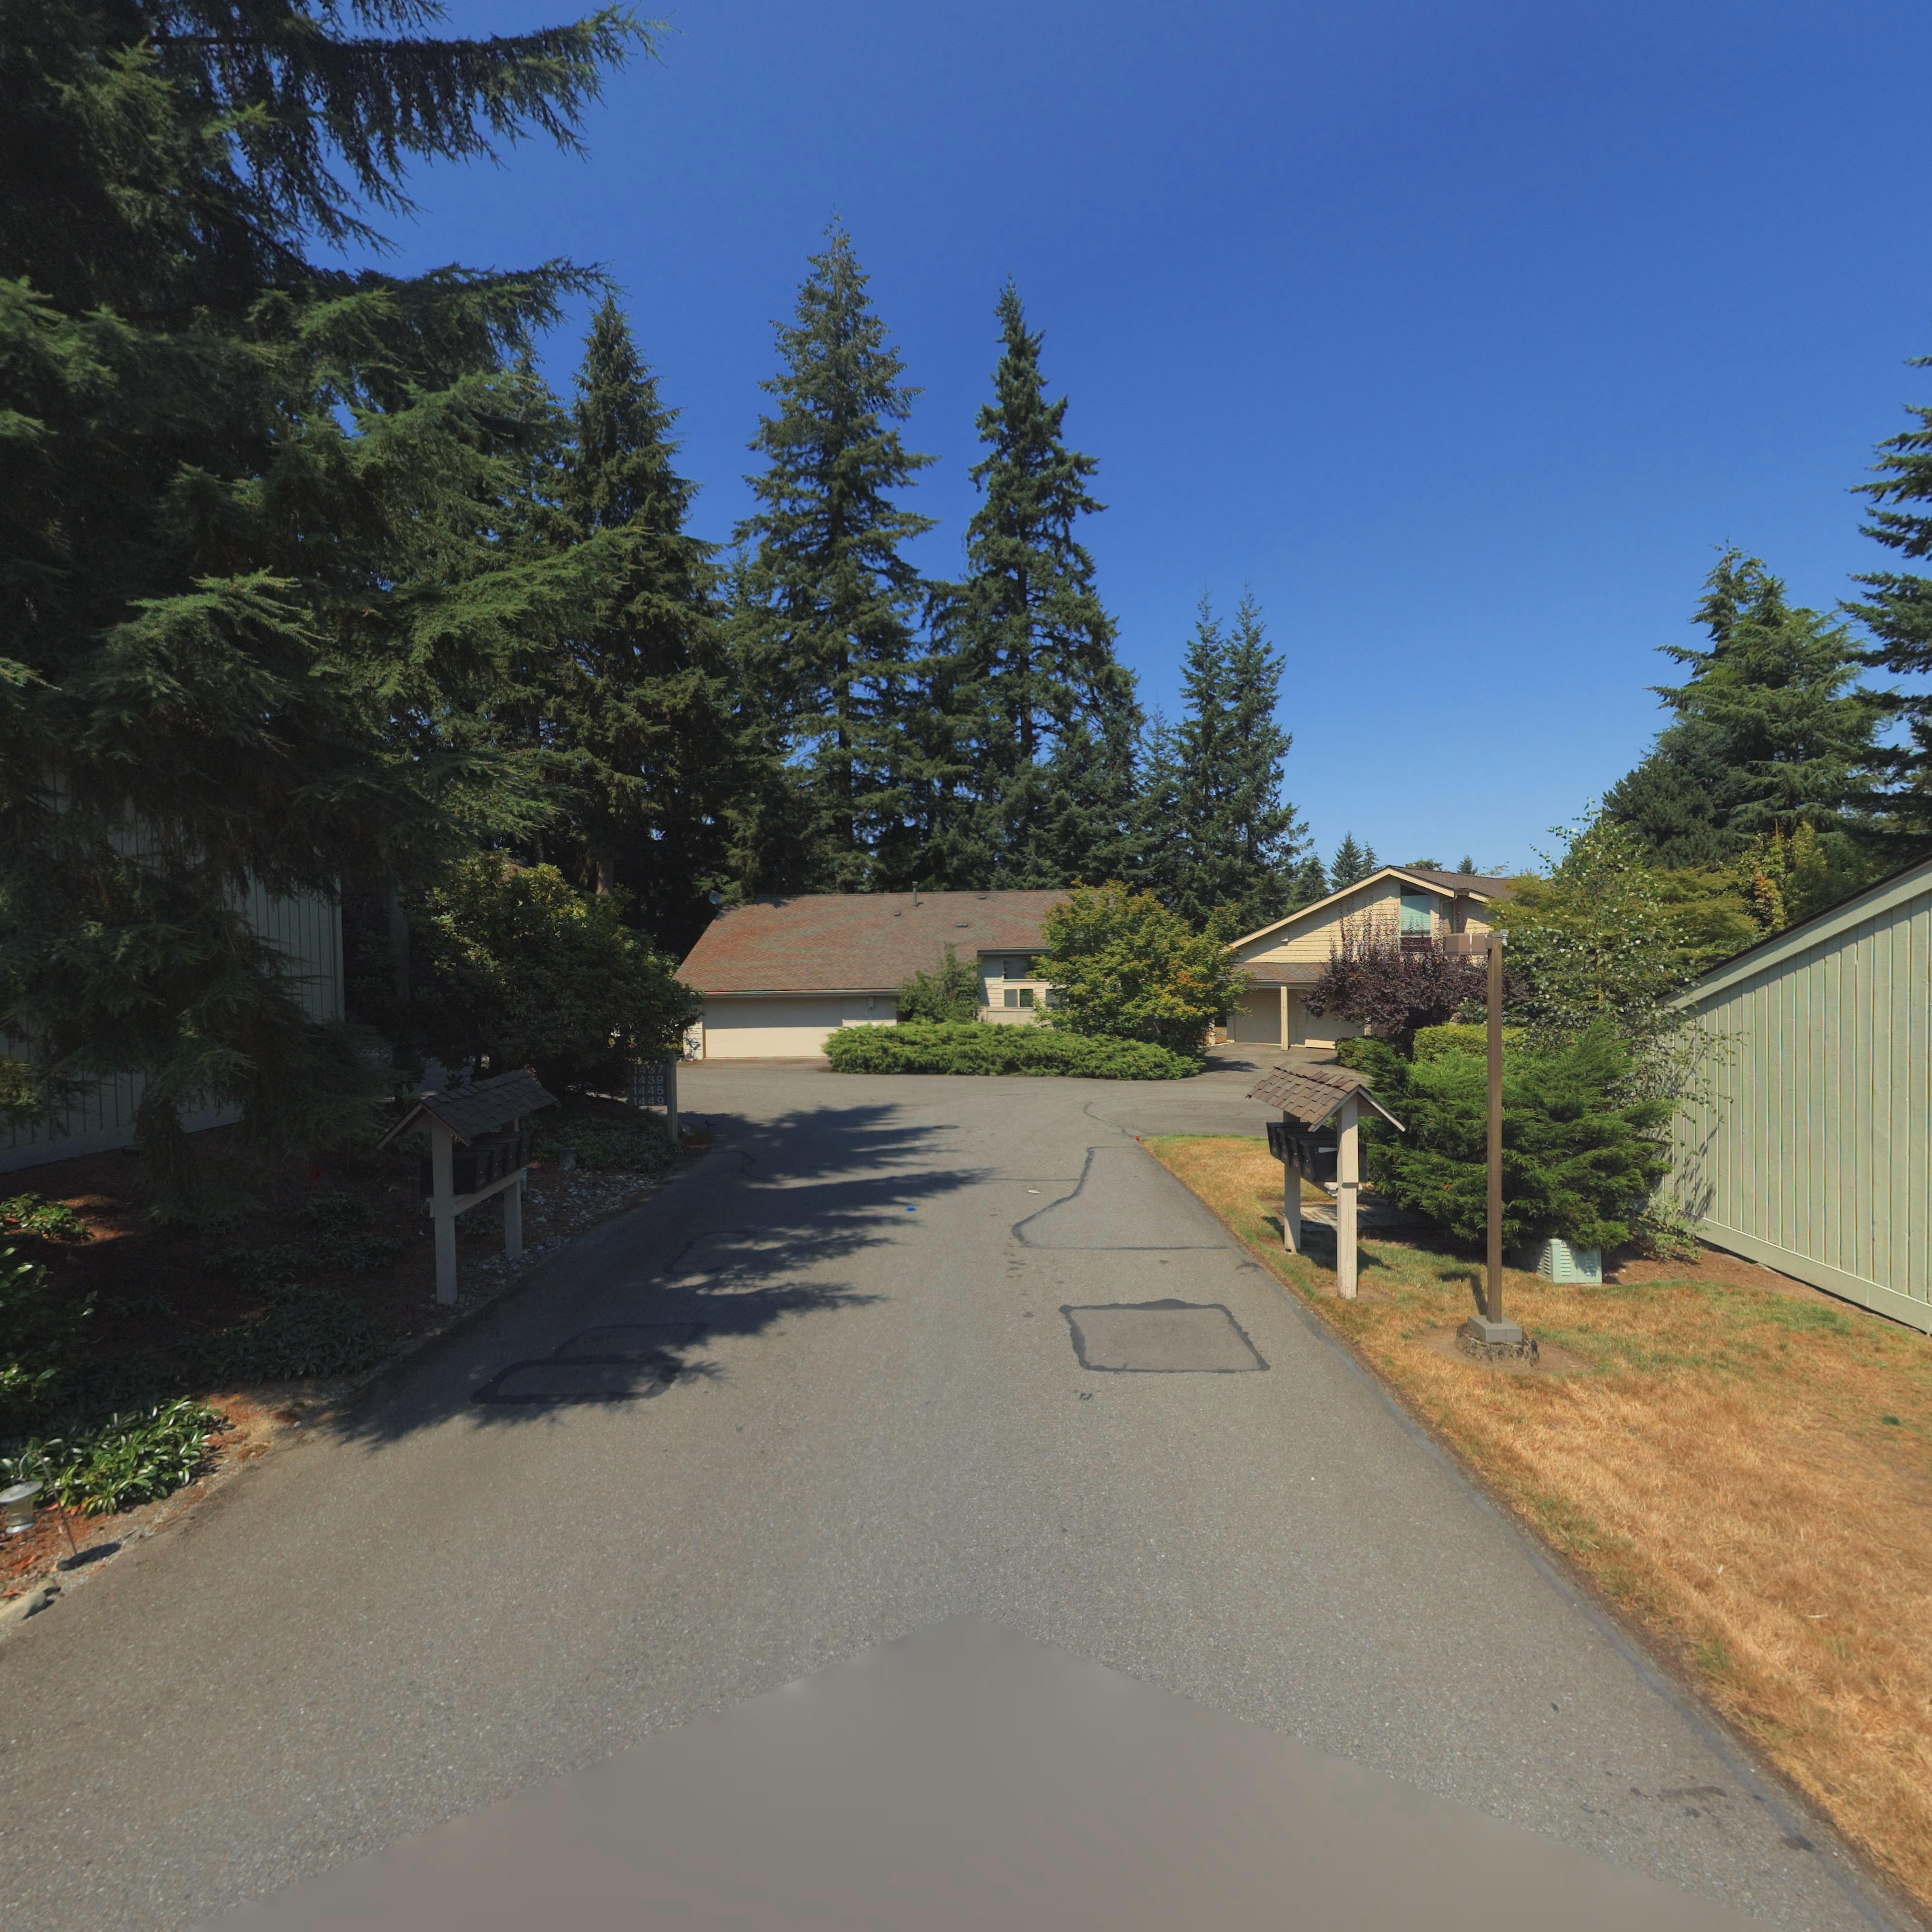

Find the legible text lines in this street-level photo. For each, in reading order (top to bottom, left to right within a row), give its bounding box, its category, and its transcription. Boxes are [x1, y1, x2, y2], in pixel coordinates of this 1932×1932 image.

[633, 1064, 664, 1073] StreetNumber: 1437
[632, 1075, 663, 1084] StreetNumber: 1439
[633, 1086, 664, 1095] StreetNumber: 1445
[633, 1097, 663, 1106] StreetNumber: 1449